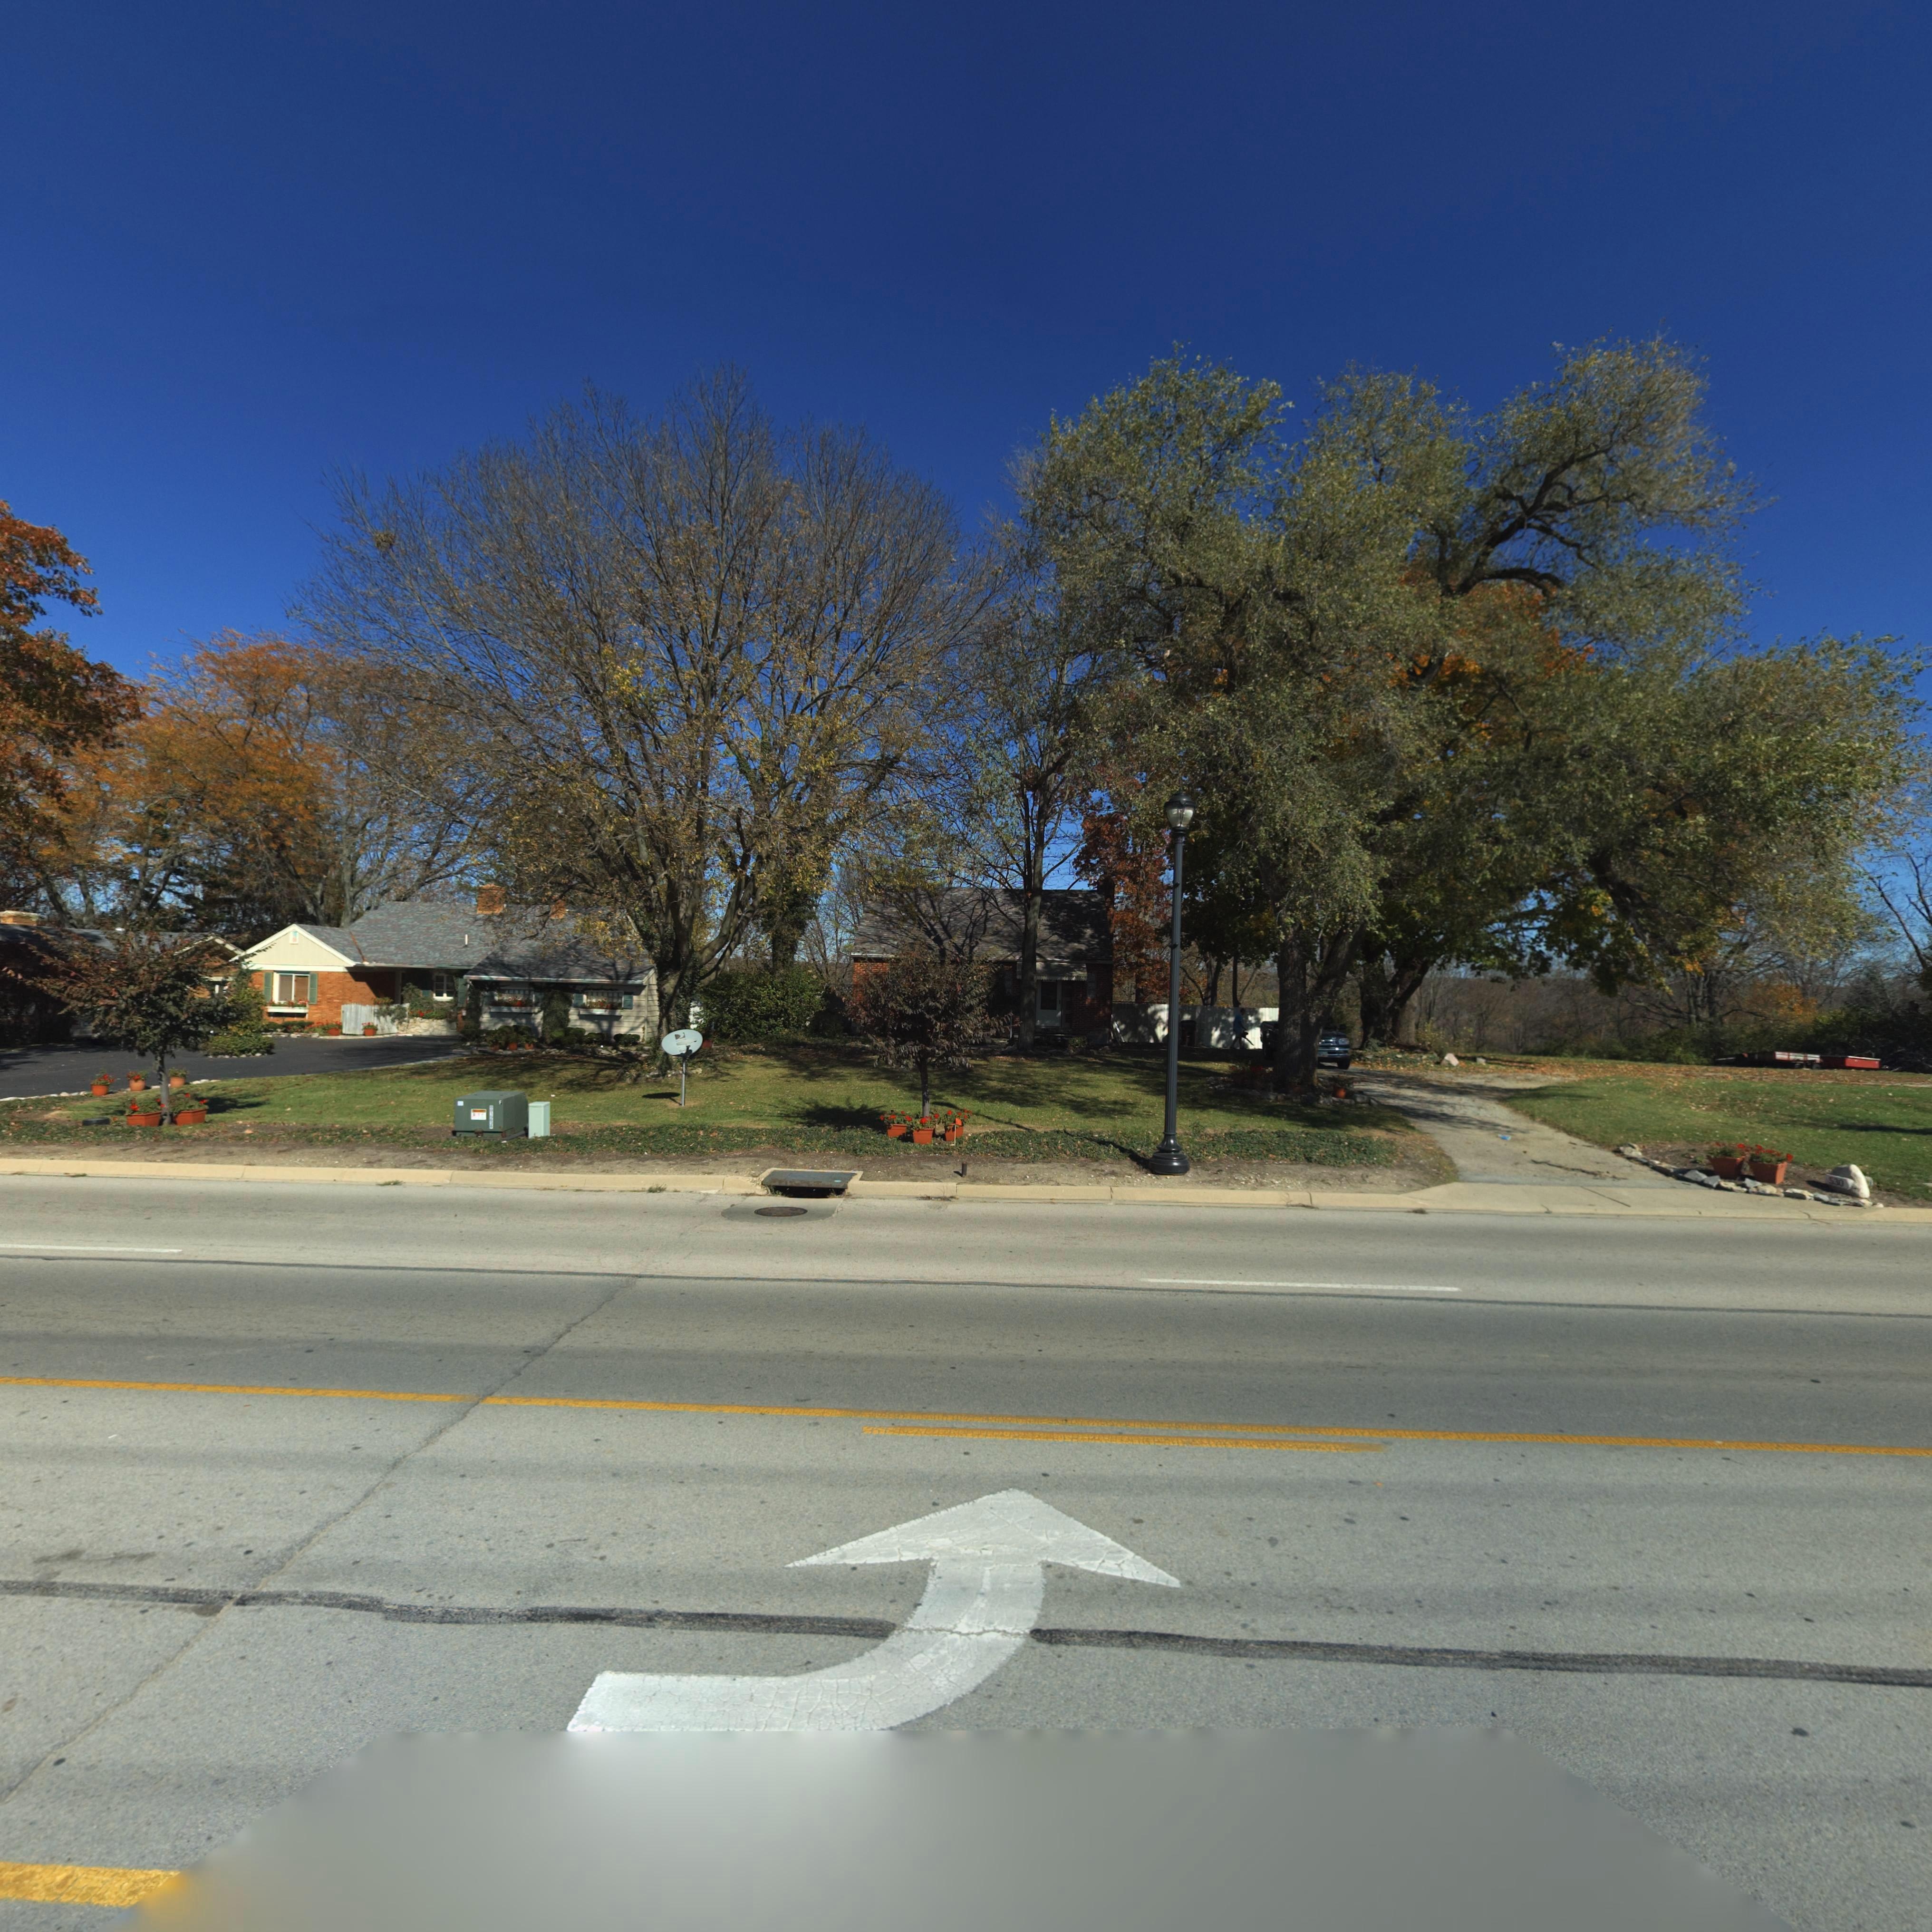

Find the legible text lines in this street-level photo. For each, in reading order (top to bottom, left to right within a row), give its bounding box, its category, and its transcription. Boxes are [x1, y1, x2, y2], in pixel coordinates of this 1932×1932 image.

[1827, 1176, 1845, 1188] StreetNumber: 530